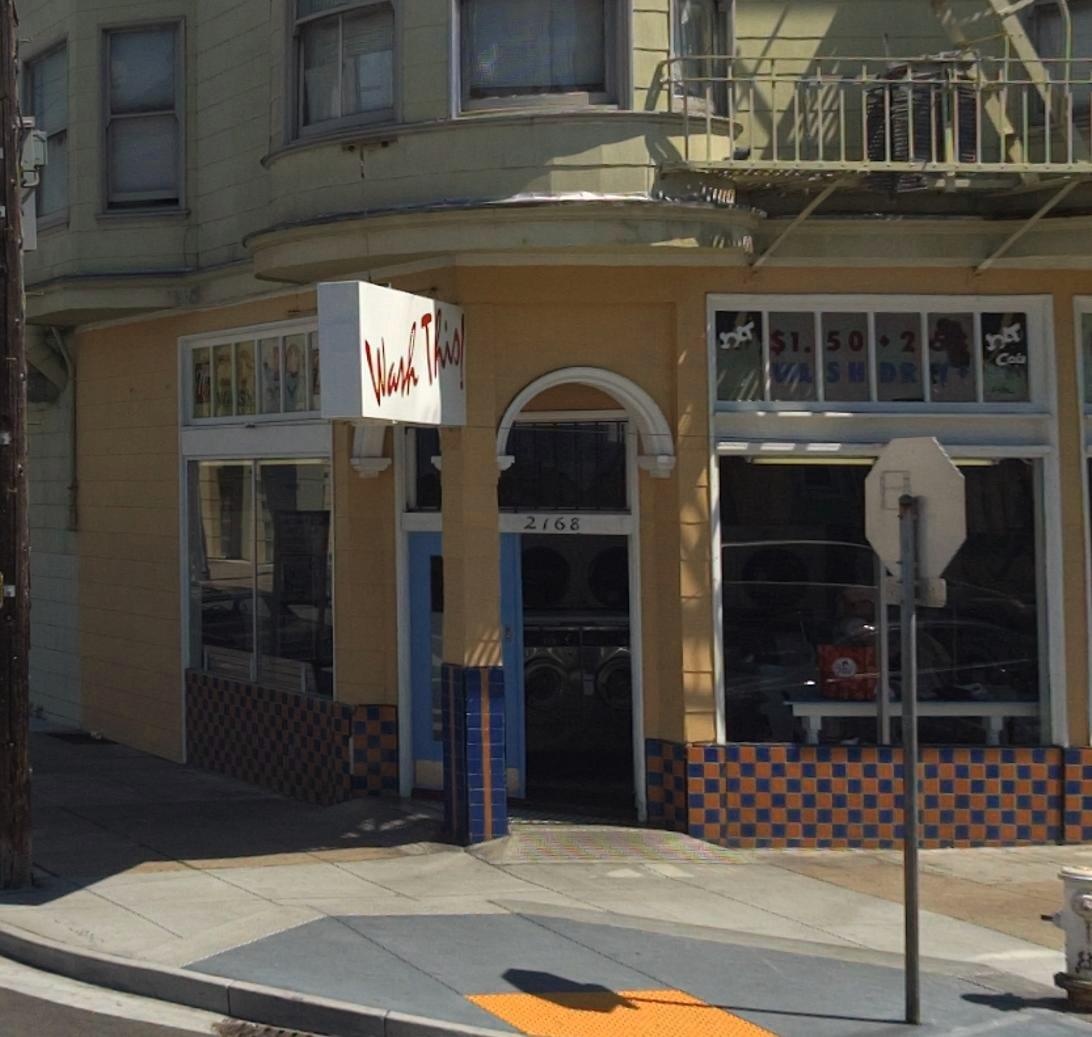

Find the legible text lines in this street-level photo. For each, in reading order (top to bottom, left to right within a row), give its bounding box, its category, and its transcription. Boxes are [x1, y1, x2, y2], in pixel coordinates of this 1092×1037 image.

[770, 327, 917, 355] None: $1.50 - 2
[362, 307, 466, 409] BusinessName: Wash This!
[771, 361, 919, 385] None: *ASH DR\
[522, 514, 581, 531] StreetNumber: 2168